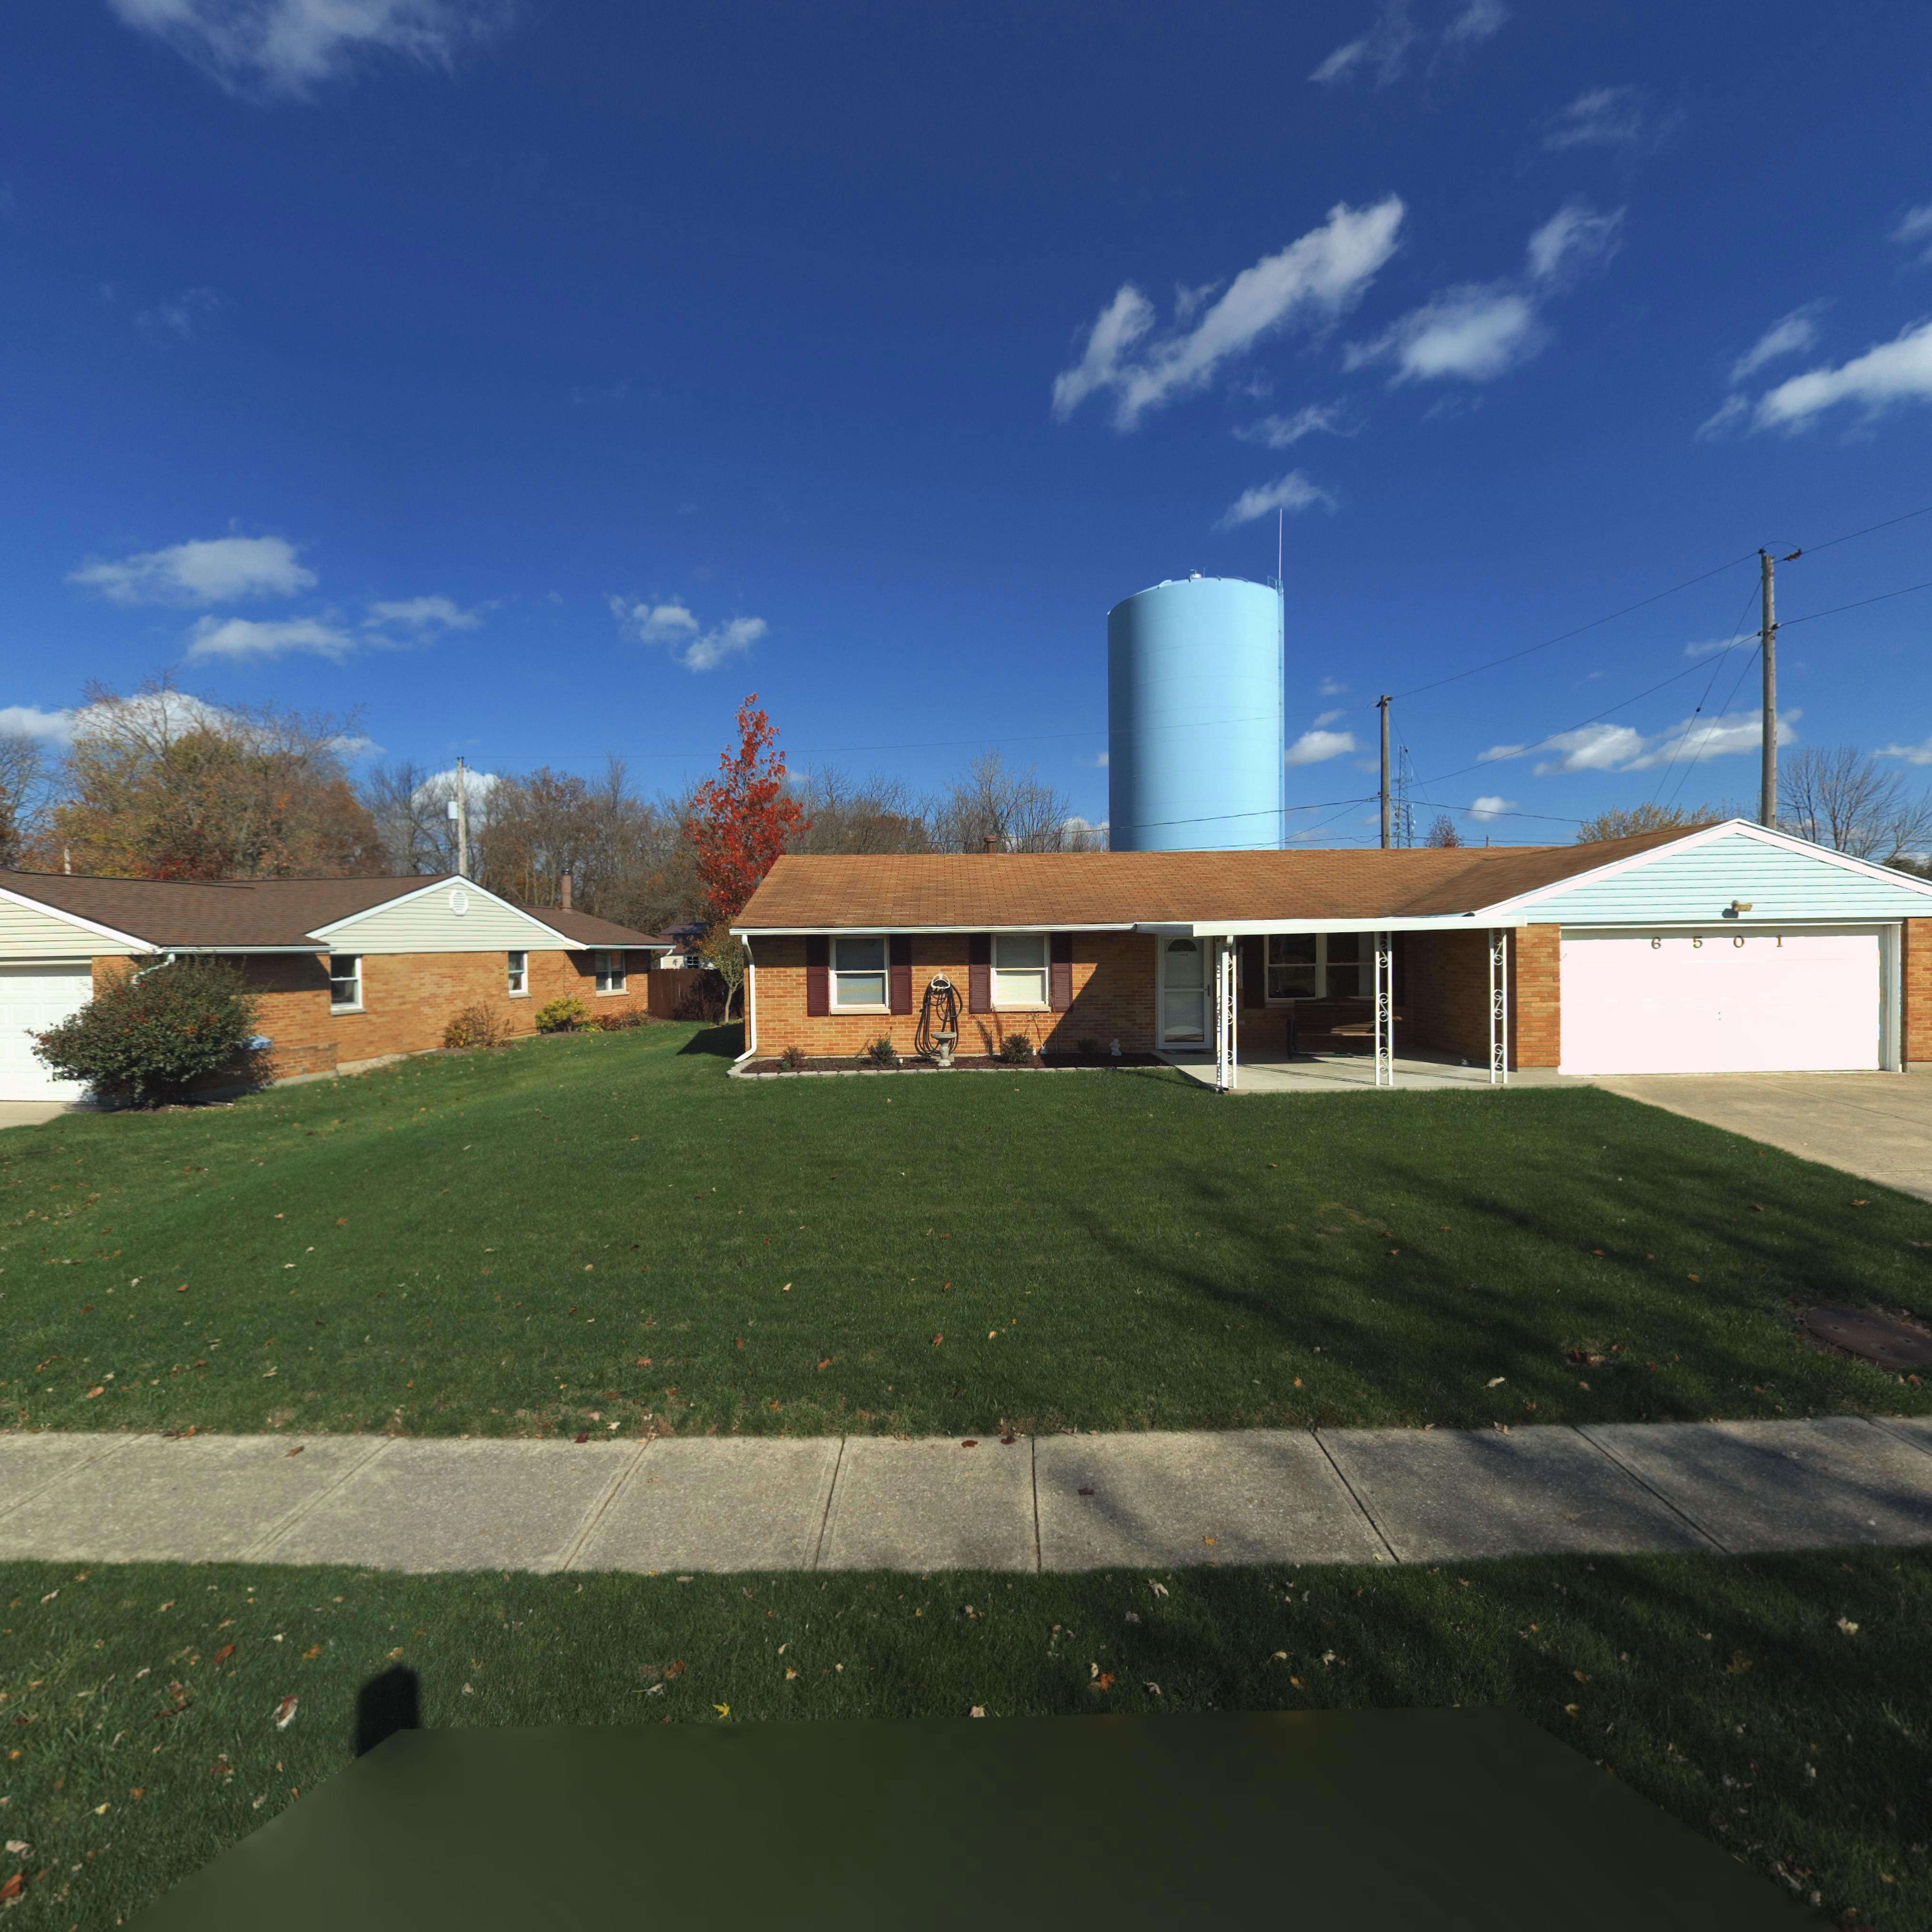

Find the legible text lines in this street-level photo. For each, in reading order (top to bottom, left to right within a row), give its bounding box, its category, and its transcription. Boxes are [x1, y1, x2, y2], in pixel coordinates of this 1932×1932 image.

[1651, 934, 1784, 949] StreetNumber: 6501
[1237, 955, 1243, 988] StreetNumber: 6501